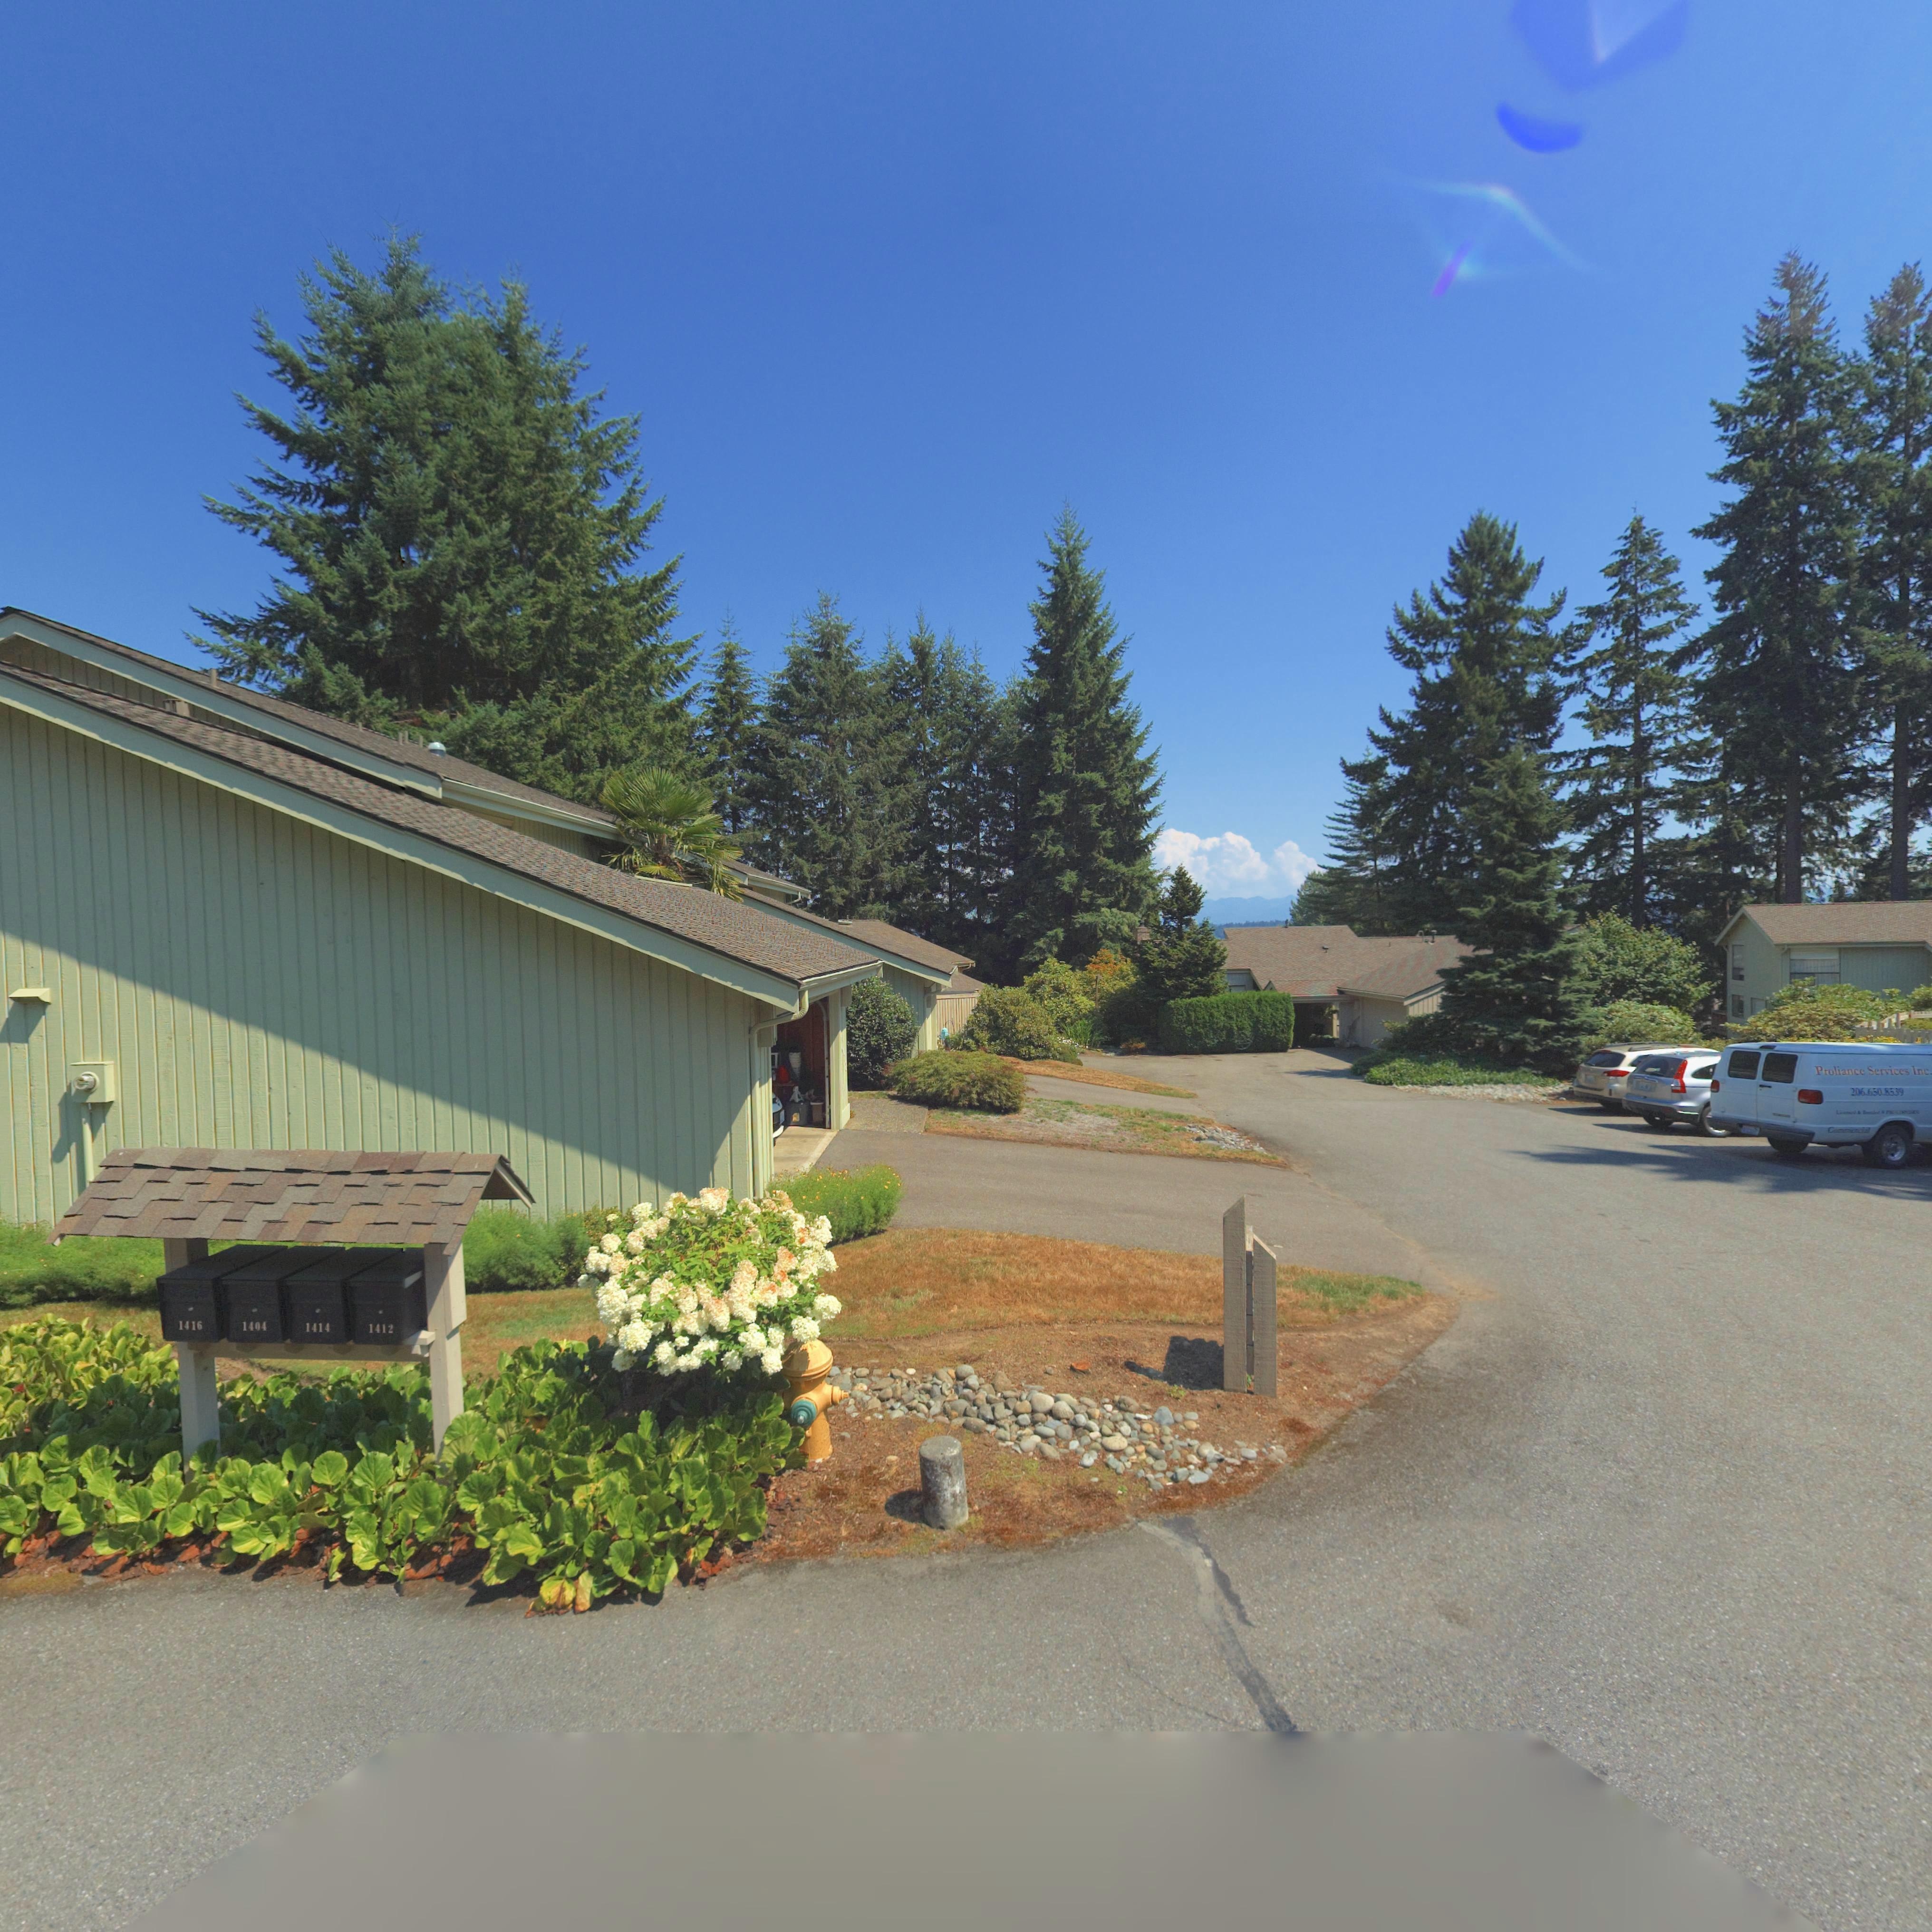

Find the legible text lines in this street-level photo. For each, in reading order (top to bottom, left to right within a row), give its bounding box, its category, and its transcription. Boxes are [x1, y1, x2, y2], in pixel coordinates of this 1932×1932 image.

[178, 1320, 203, 1331] StreetNumber: 1416
[242, 1320, 267, 1331] StreetNumber: 1404
[306, 1322, 331, 1333] StreetNumber: 1414
[368, 1323, 395, 1334] StreetNumber: 1412